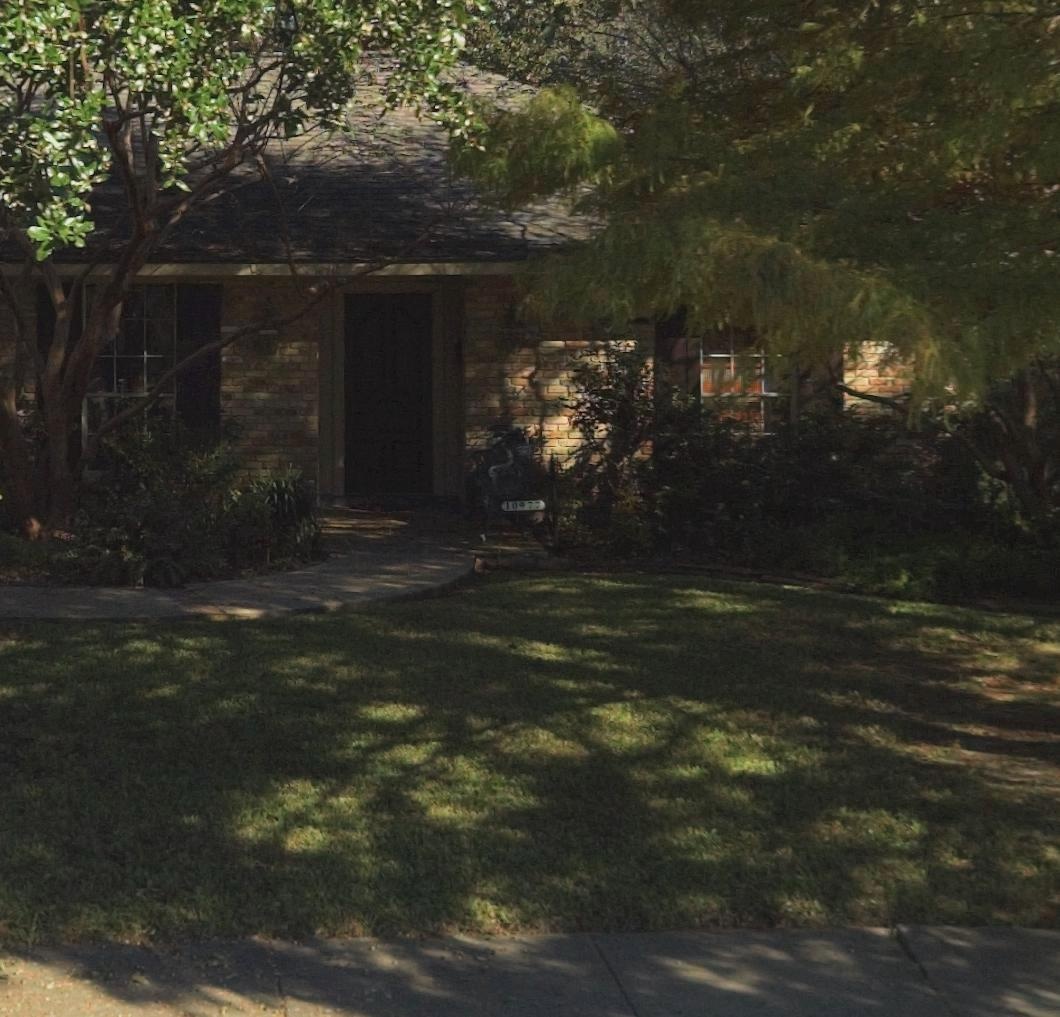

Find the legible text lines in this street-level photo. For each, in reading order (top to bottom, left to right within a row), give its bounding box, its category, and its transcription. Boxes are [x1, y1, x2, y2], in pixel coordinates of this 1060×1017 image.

[504, 499, 543, 512] StreetNumber: 10977